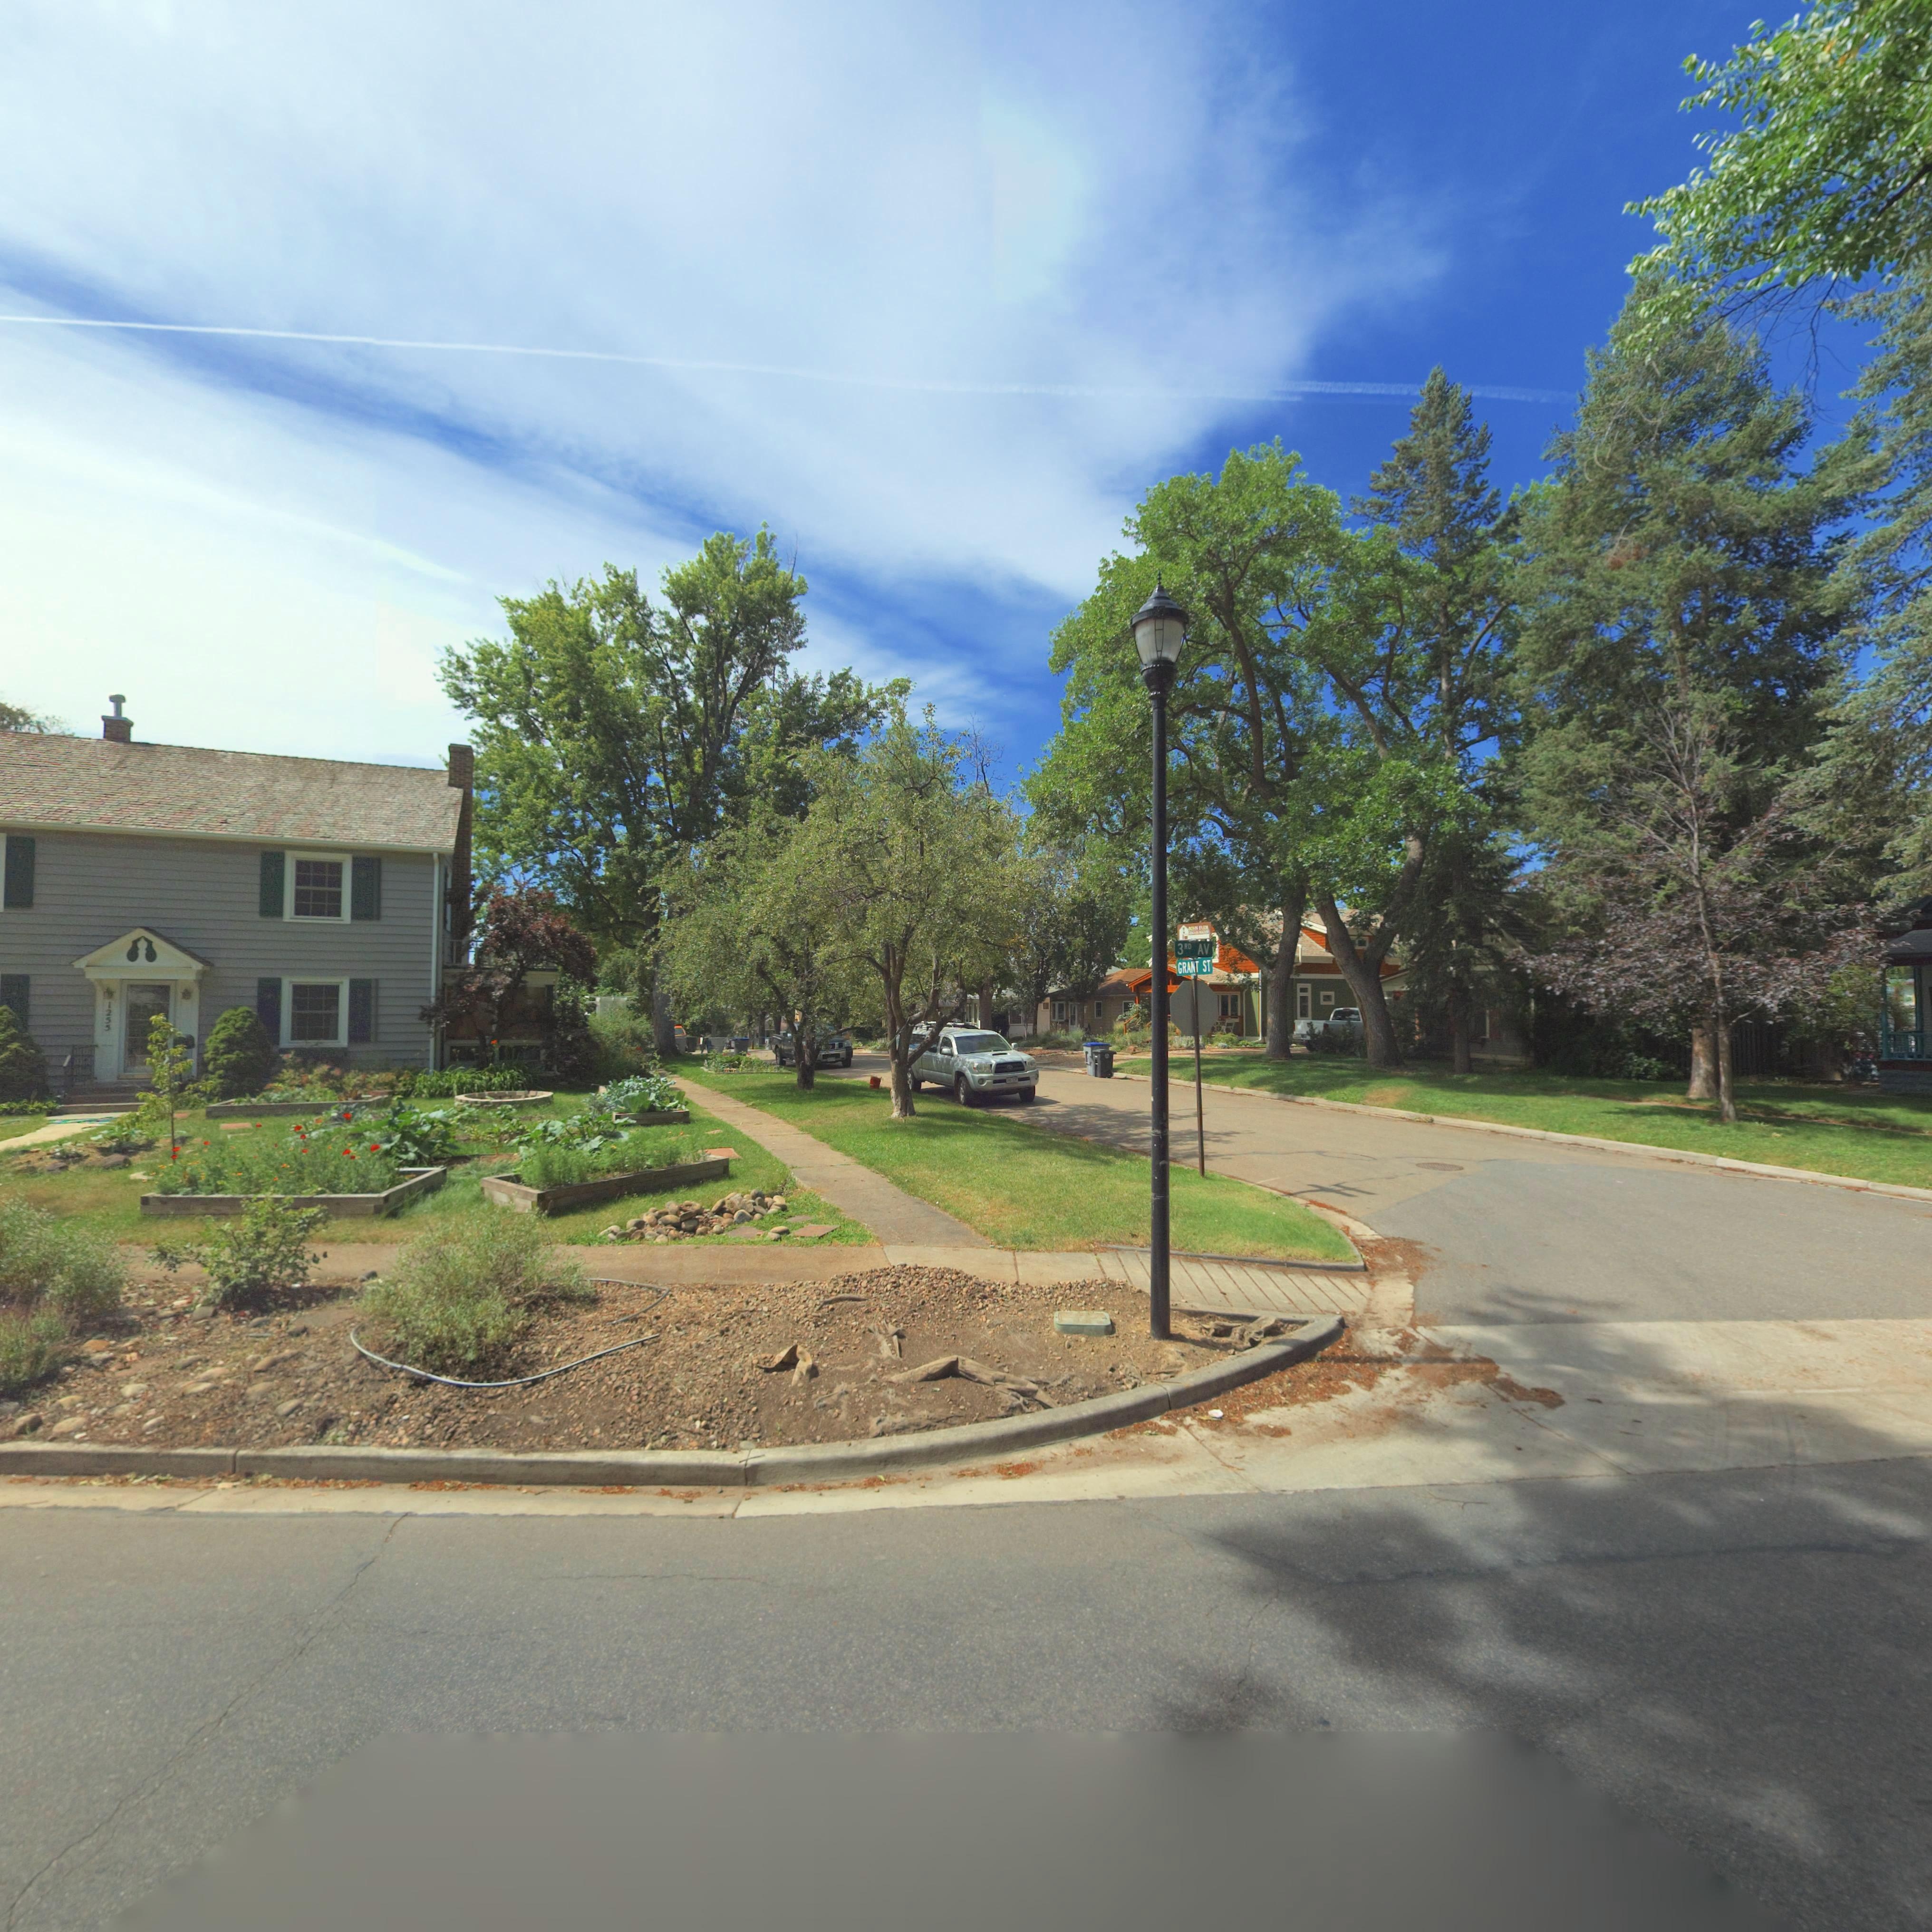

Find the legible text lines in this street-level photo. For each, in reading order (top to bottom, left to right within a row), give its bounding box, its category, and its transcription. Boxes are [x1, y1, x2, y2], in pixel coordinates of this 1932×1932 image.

[1177, 943, 1209, 955] StreetName: 3RD AV
[1177, 959, 1210, 974] StreetName: GRANT ST
[104, 1002, 112, 1031] StreetNumber: 1255